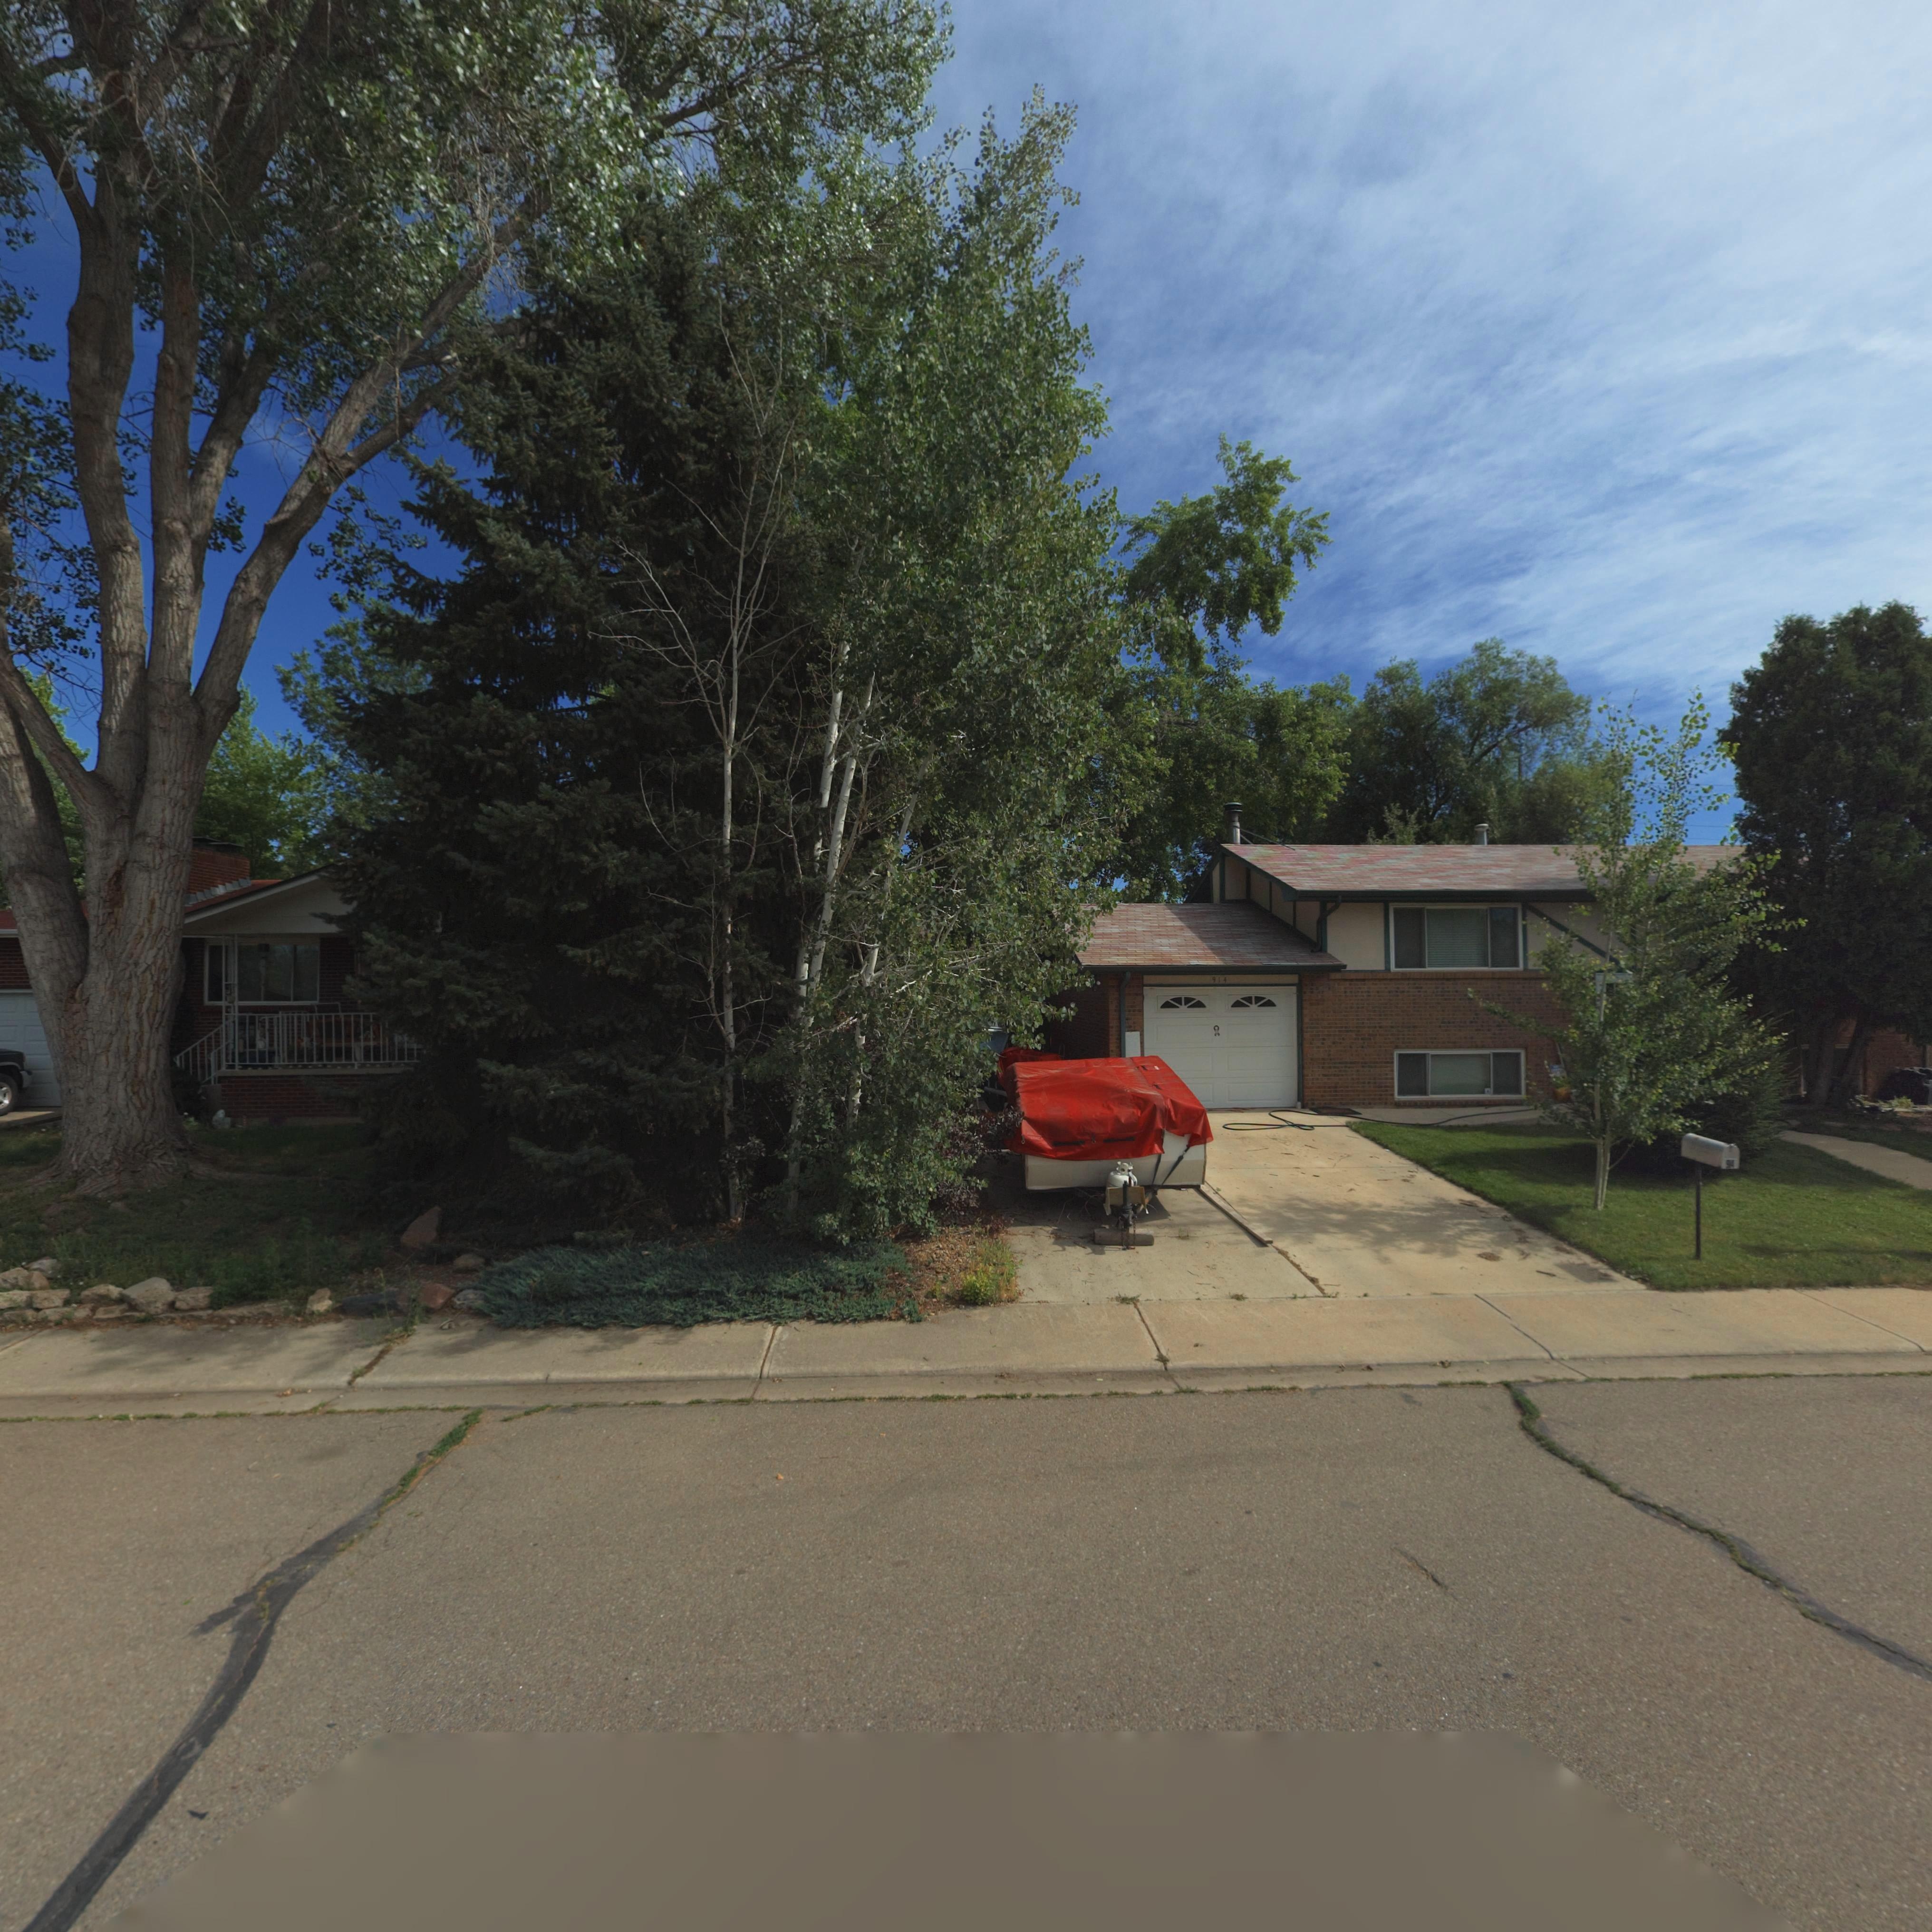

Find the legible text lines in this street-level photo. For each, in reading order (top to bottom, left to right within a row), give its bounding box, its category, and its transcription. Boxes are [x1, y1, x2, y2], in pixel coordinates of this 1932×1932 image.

[1211, 976, 1227, 984] StreetNumber: 914
[1726, 1159, 1735, 1169] StreetNumber: 9*4